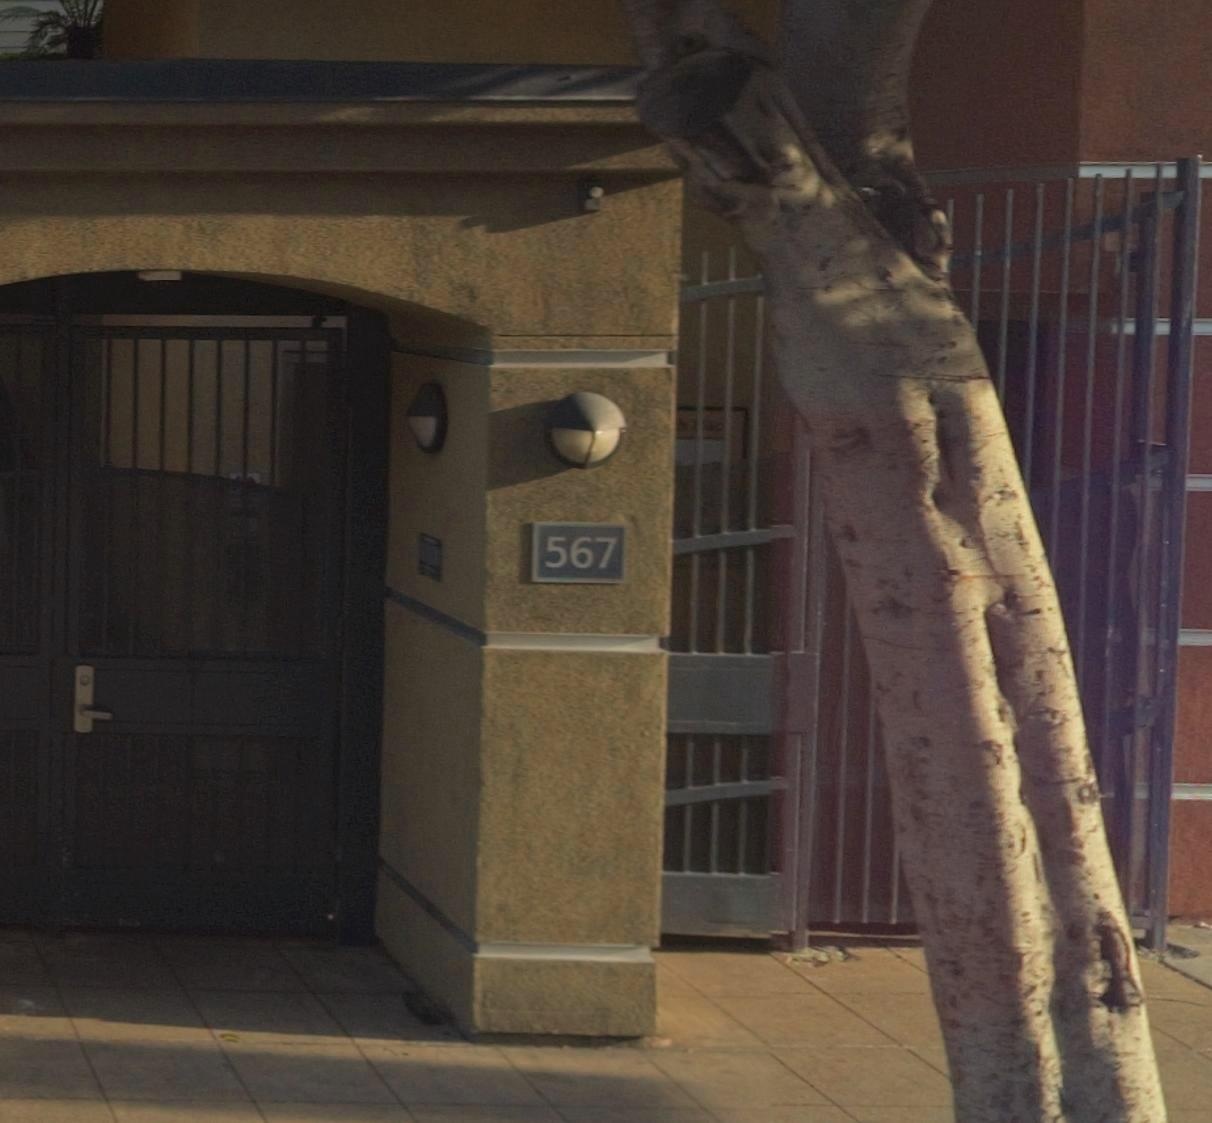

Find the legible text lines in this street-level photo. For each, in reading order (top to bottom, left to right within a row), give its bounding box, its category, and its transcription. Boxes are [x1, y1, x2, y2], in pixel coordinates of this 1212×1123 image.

[543, 530, 618, 575] StreetNumber: 567